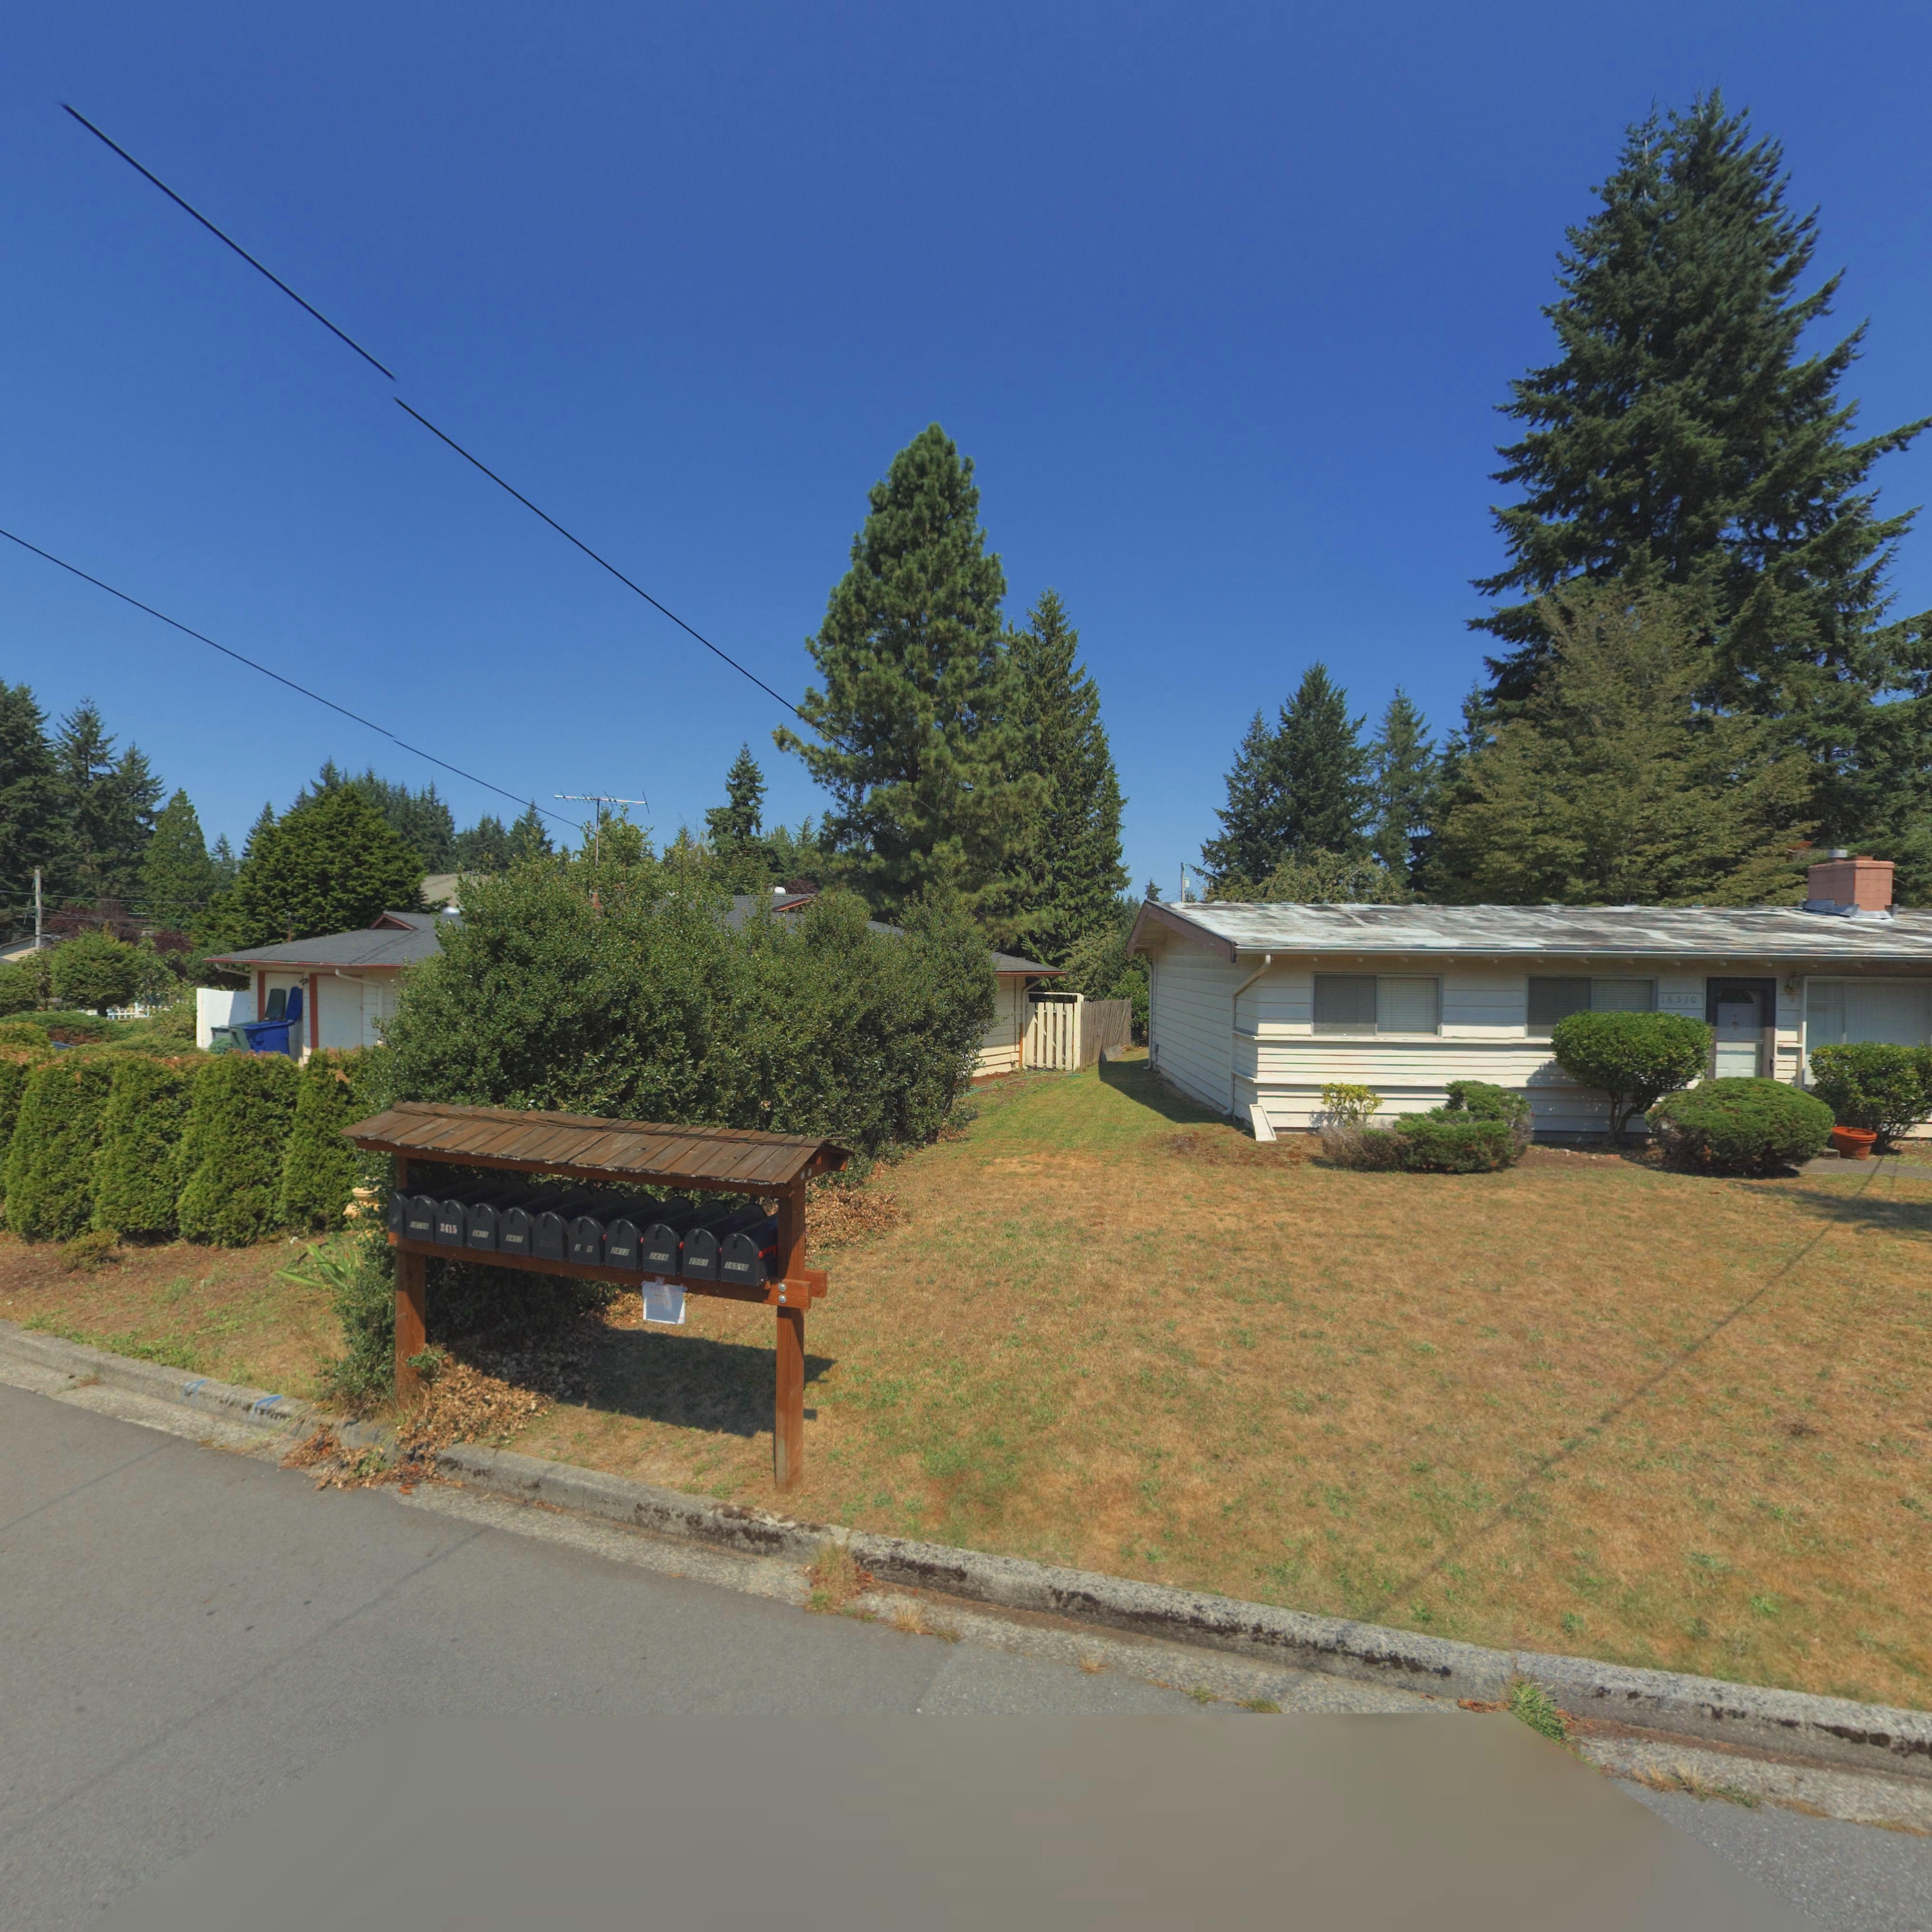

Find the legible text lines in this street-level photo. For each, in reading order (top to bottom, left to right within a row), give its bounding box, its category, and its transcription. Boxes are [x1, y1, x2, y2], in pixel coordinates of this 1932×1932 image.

[1659, 992, 1700, 1006] StreetNumber: 16310
[439, 1221, 459, 1236] StreetNumber: 2415
[472, 1229, 490, 1238] StreetNumber: 2411
[506, 1234, 523, 1243] StreetNumber: 2407
[611, 1246, 629, 1256] StreetNumber: 2412
[650, 1252, 669, 1261] StreetNumber: 2416
[689, 1256, 707, 1266] StreetNumber: 2501
[725, 1261, 749, 1270] StreetNumber: 16310